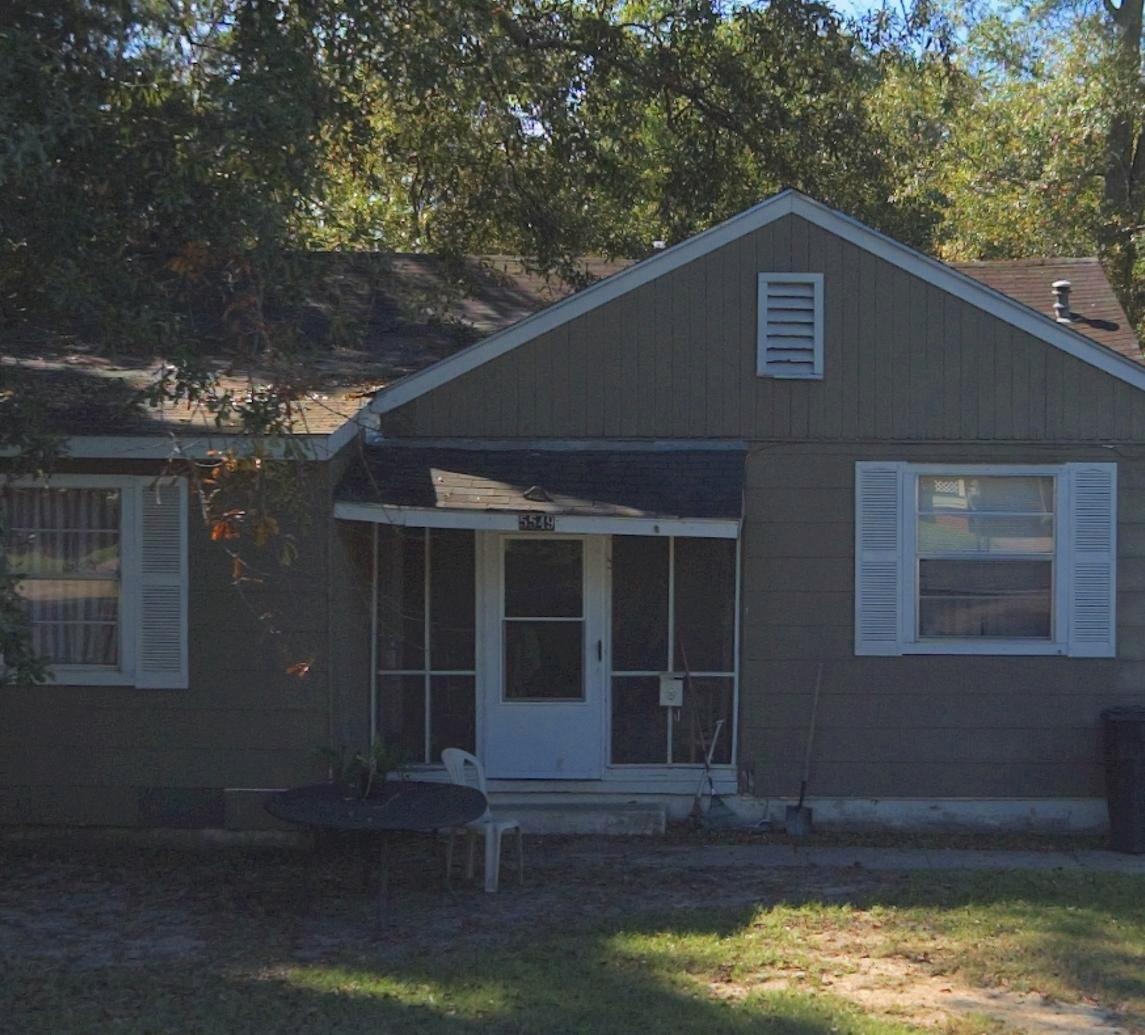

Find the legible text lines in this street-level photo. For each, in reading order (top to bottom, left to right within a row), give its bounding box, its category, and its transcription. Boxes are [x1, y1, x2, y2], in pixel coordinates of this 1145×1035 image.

[519, 514, 555, 530] StreetNumber: 5549